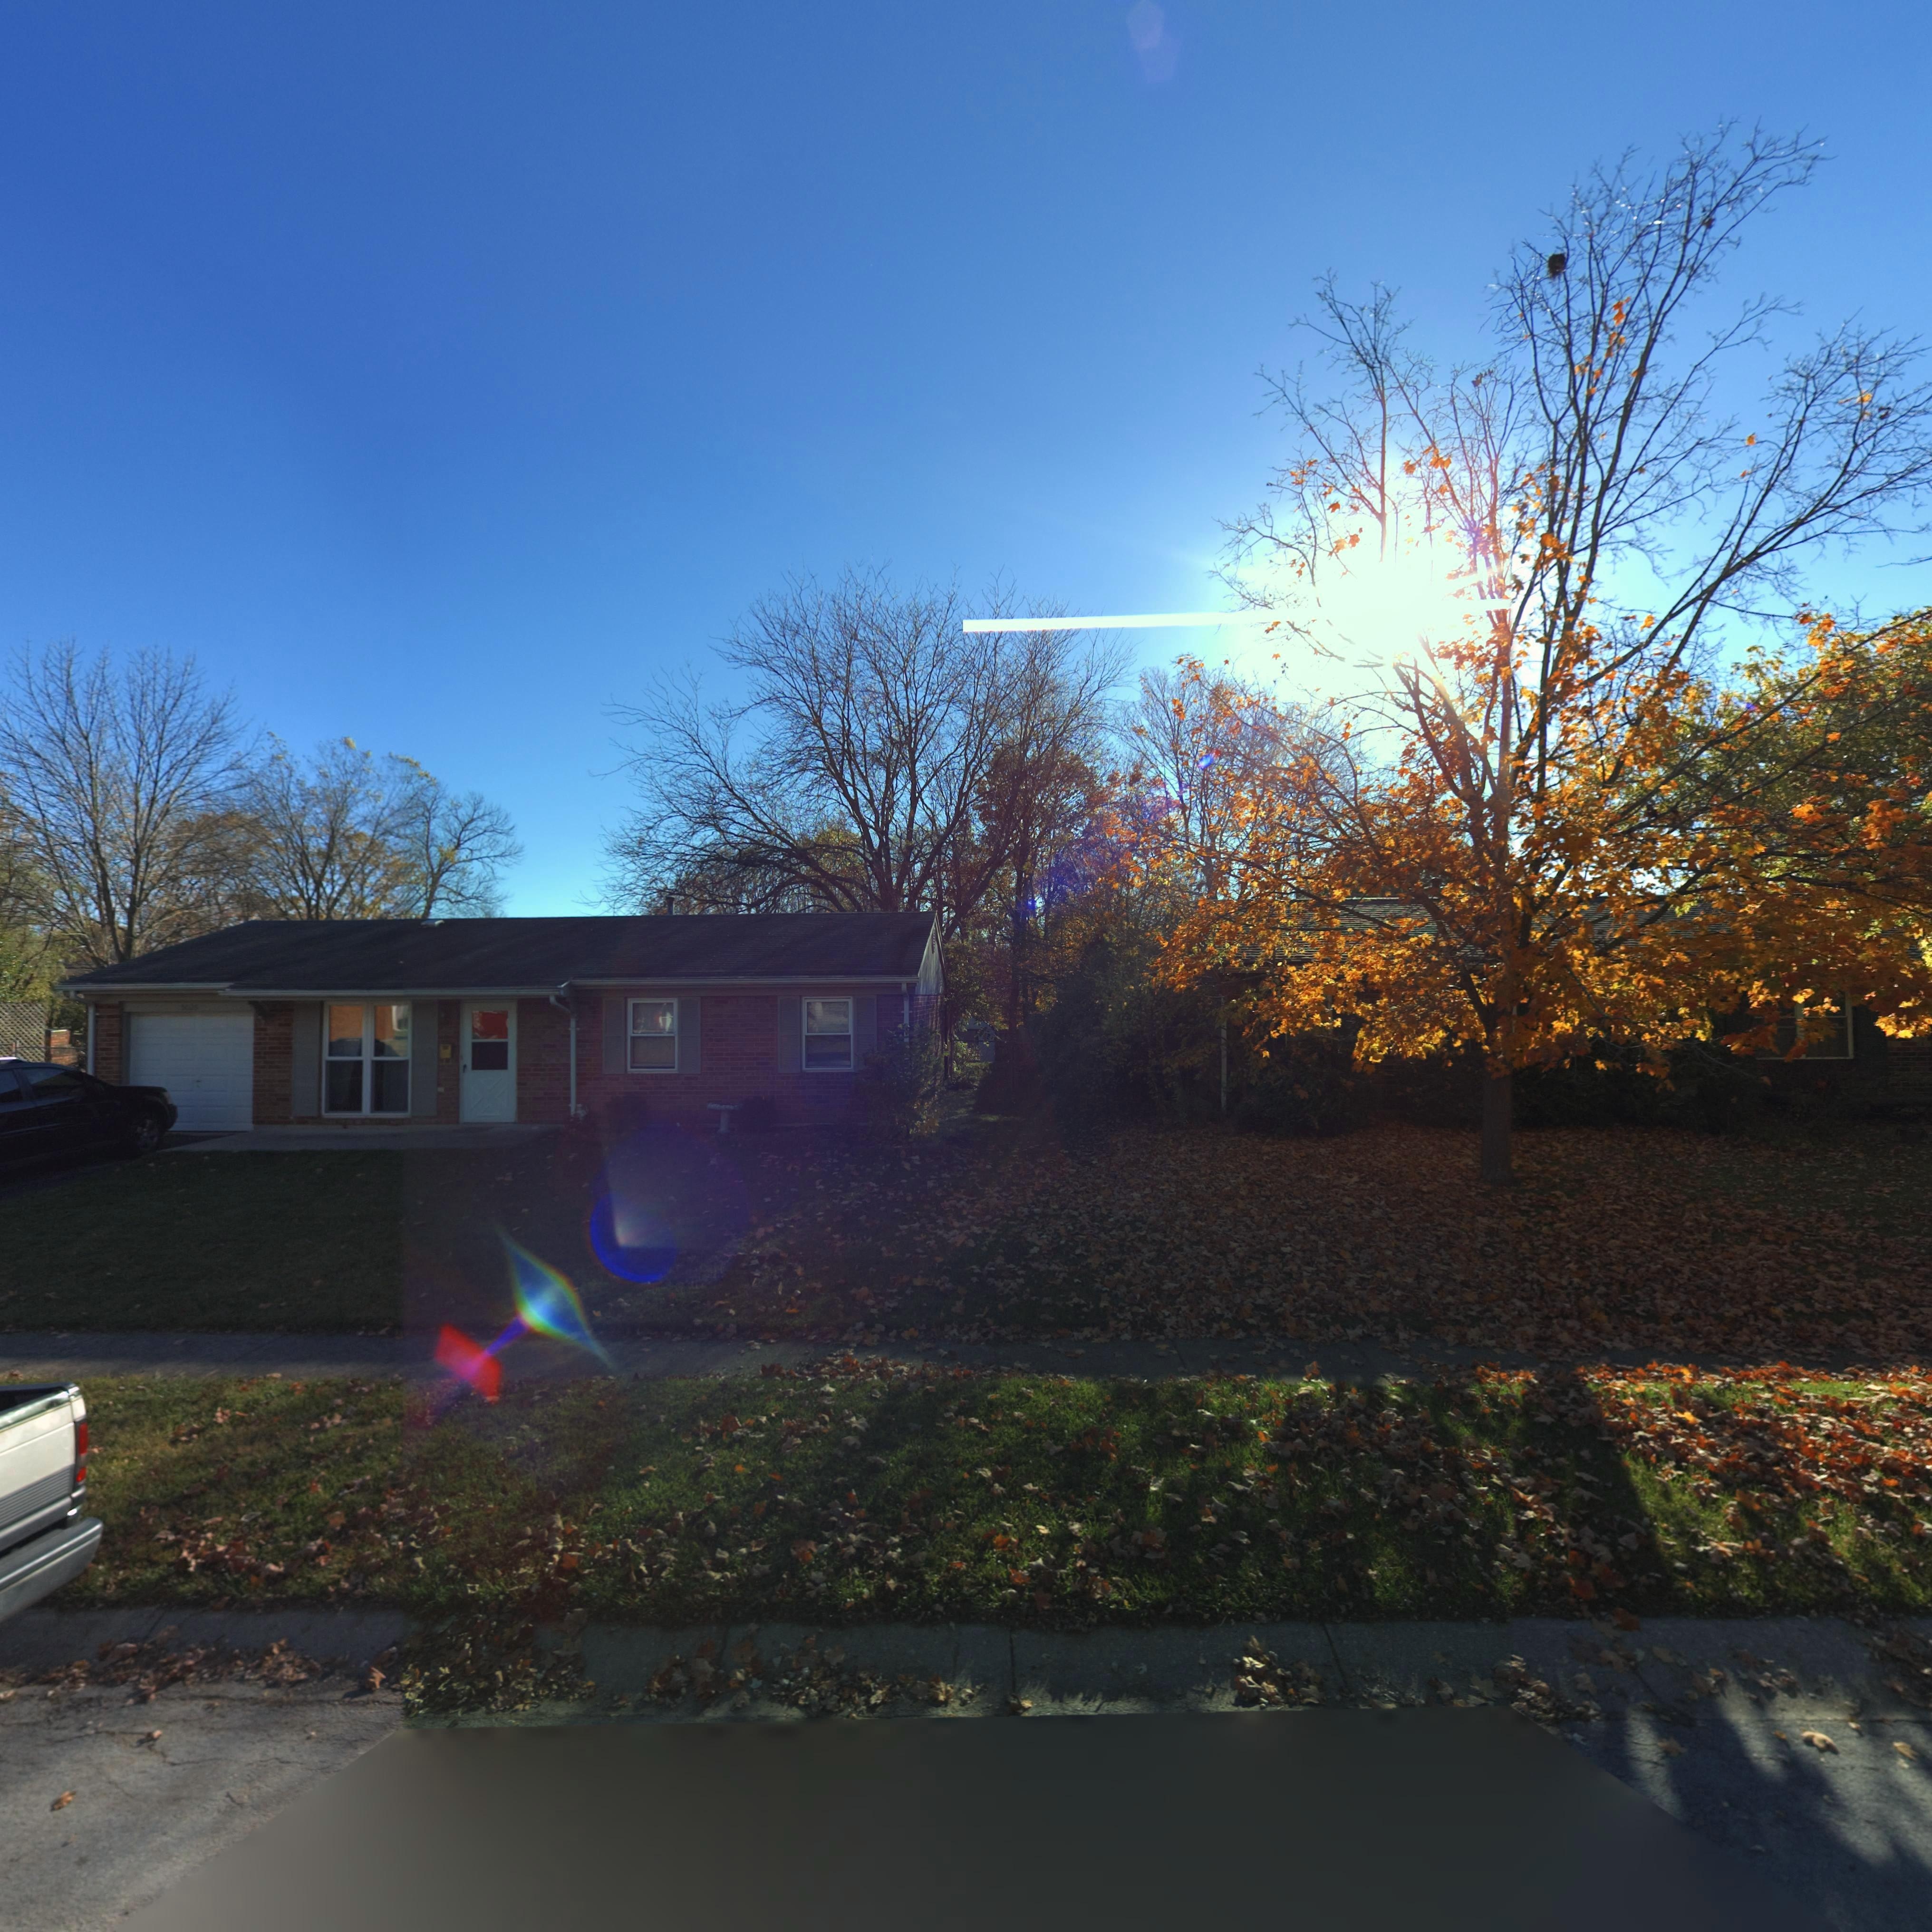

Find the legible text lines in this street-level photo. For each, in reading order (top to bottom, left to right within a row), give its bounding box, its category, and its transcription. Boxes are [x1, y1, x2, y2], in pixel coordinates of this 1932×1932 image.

[180, 1003, 199, 1011] StreetNumber: 502*